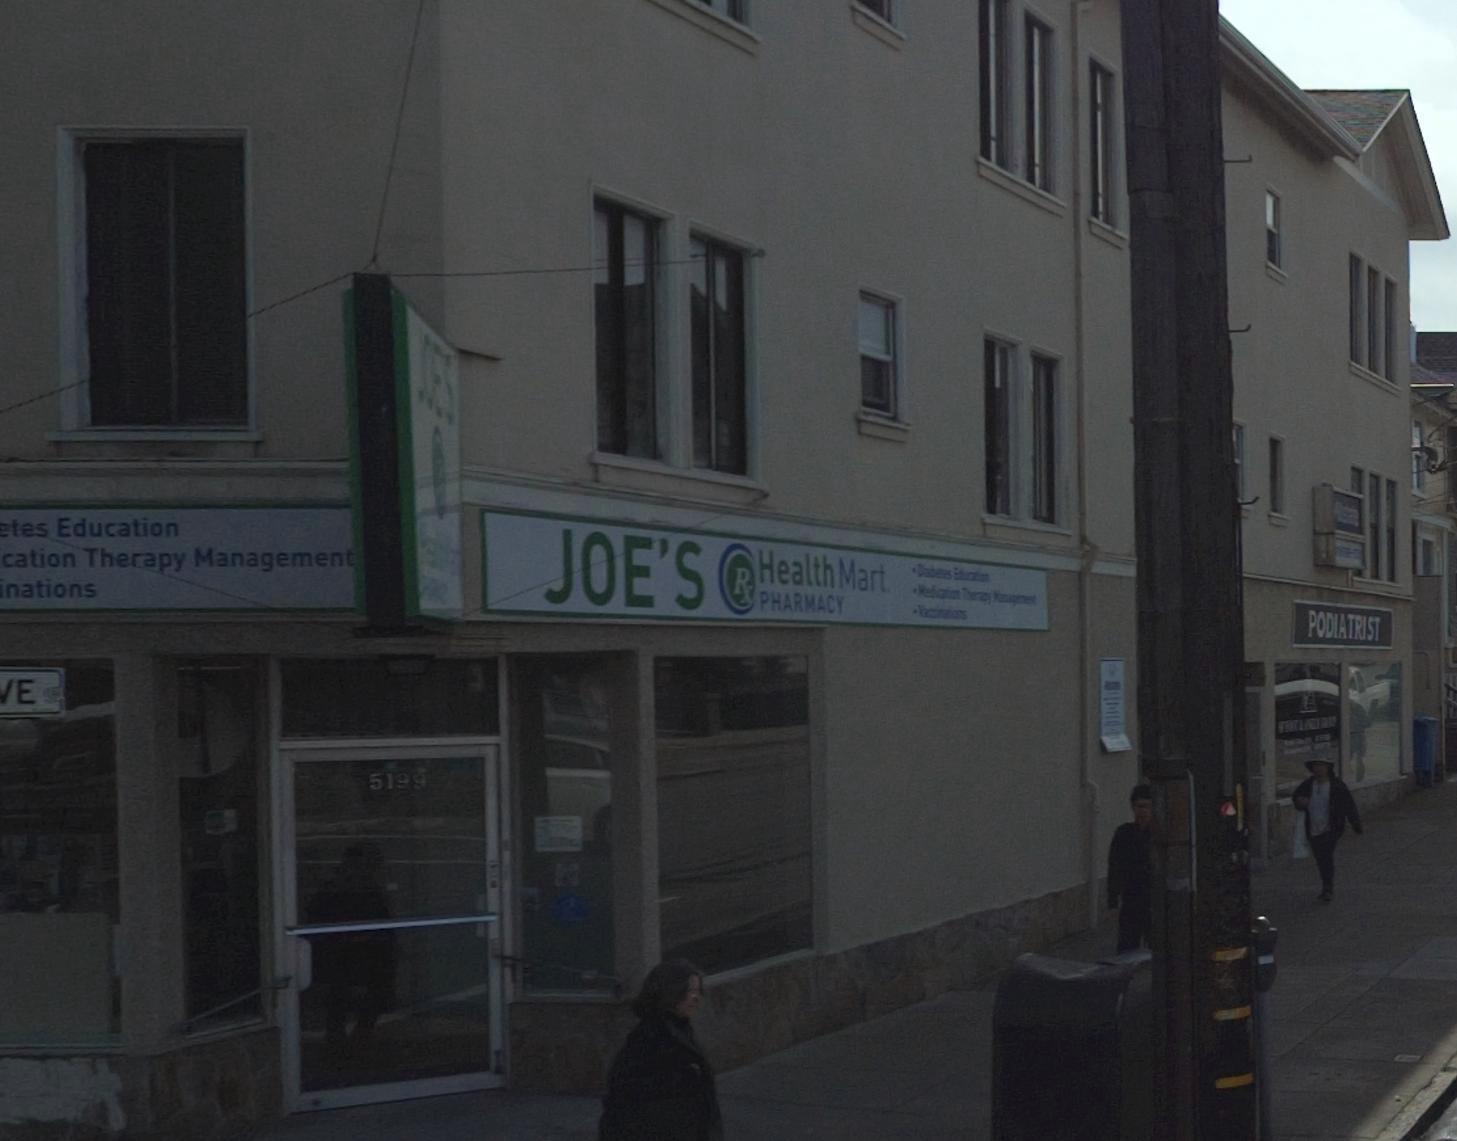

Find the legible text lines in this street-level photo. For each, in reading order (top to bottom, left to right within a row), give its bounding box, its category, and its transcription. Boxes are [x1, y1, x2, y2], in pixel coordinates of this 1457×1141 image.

[2, 512, 186, 544] None: tes Education
[3, 575, 103, 605] None: nations
[2, 542, 358, 575] None: cation Therapy Management
[542, 526, 709, 613] BusinessName: JOE'S
[728, 562, 754, 609] None: RX
[757, 587, 849, 617] BusinessName: PHARMACHY
[757, 546, 891, 594] BusinessName: HealthMart
[1302, 606, 1388, 644] BusinessName: PODIATRIST
[13, 676, 41, 709] StreetName: E
[366, 769, 429, 793] StreetNumber: 5199